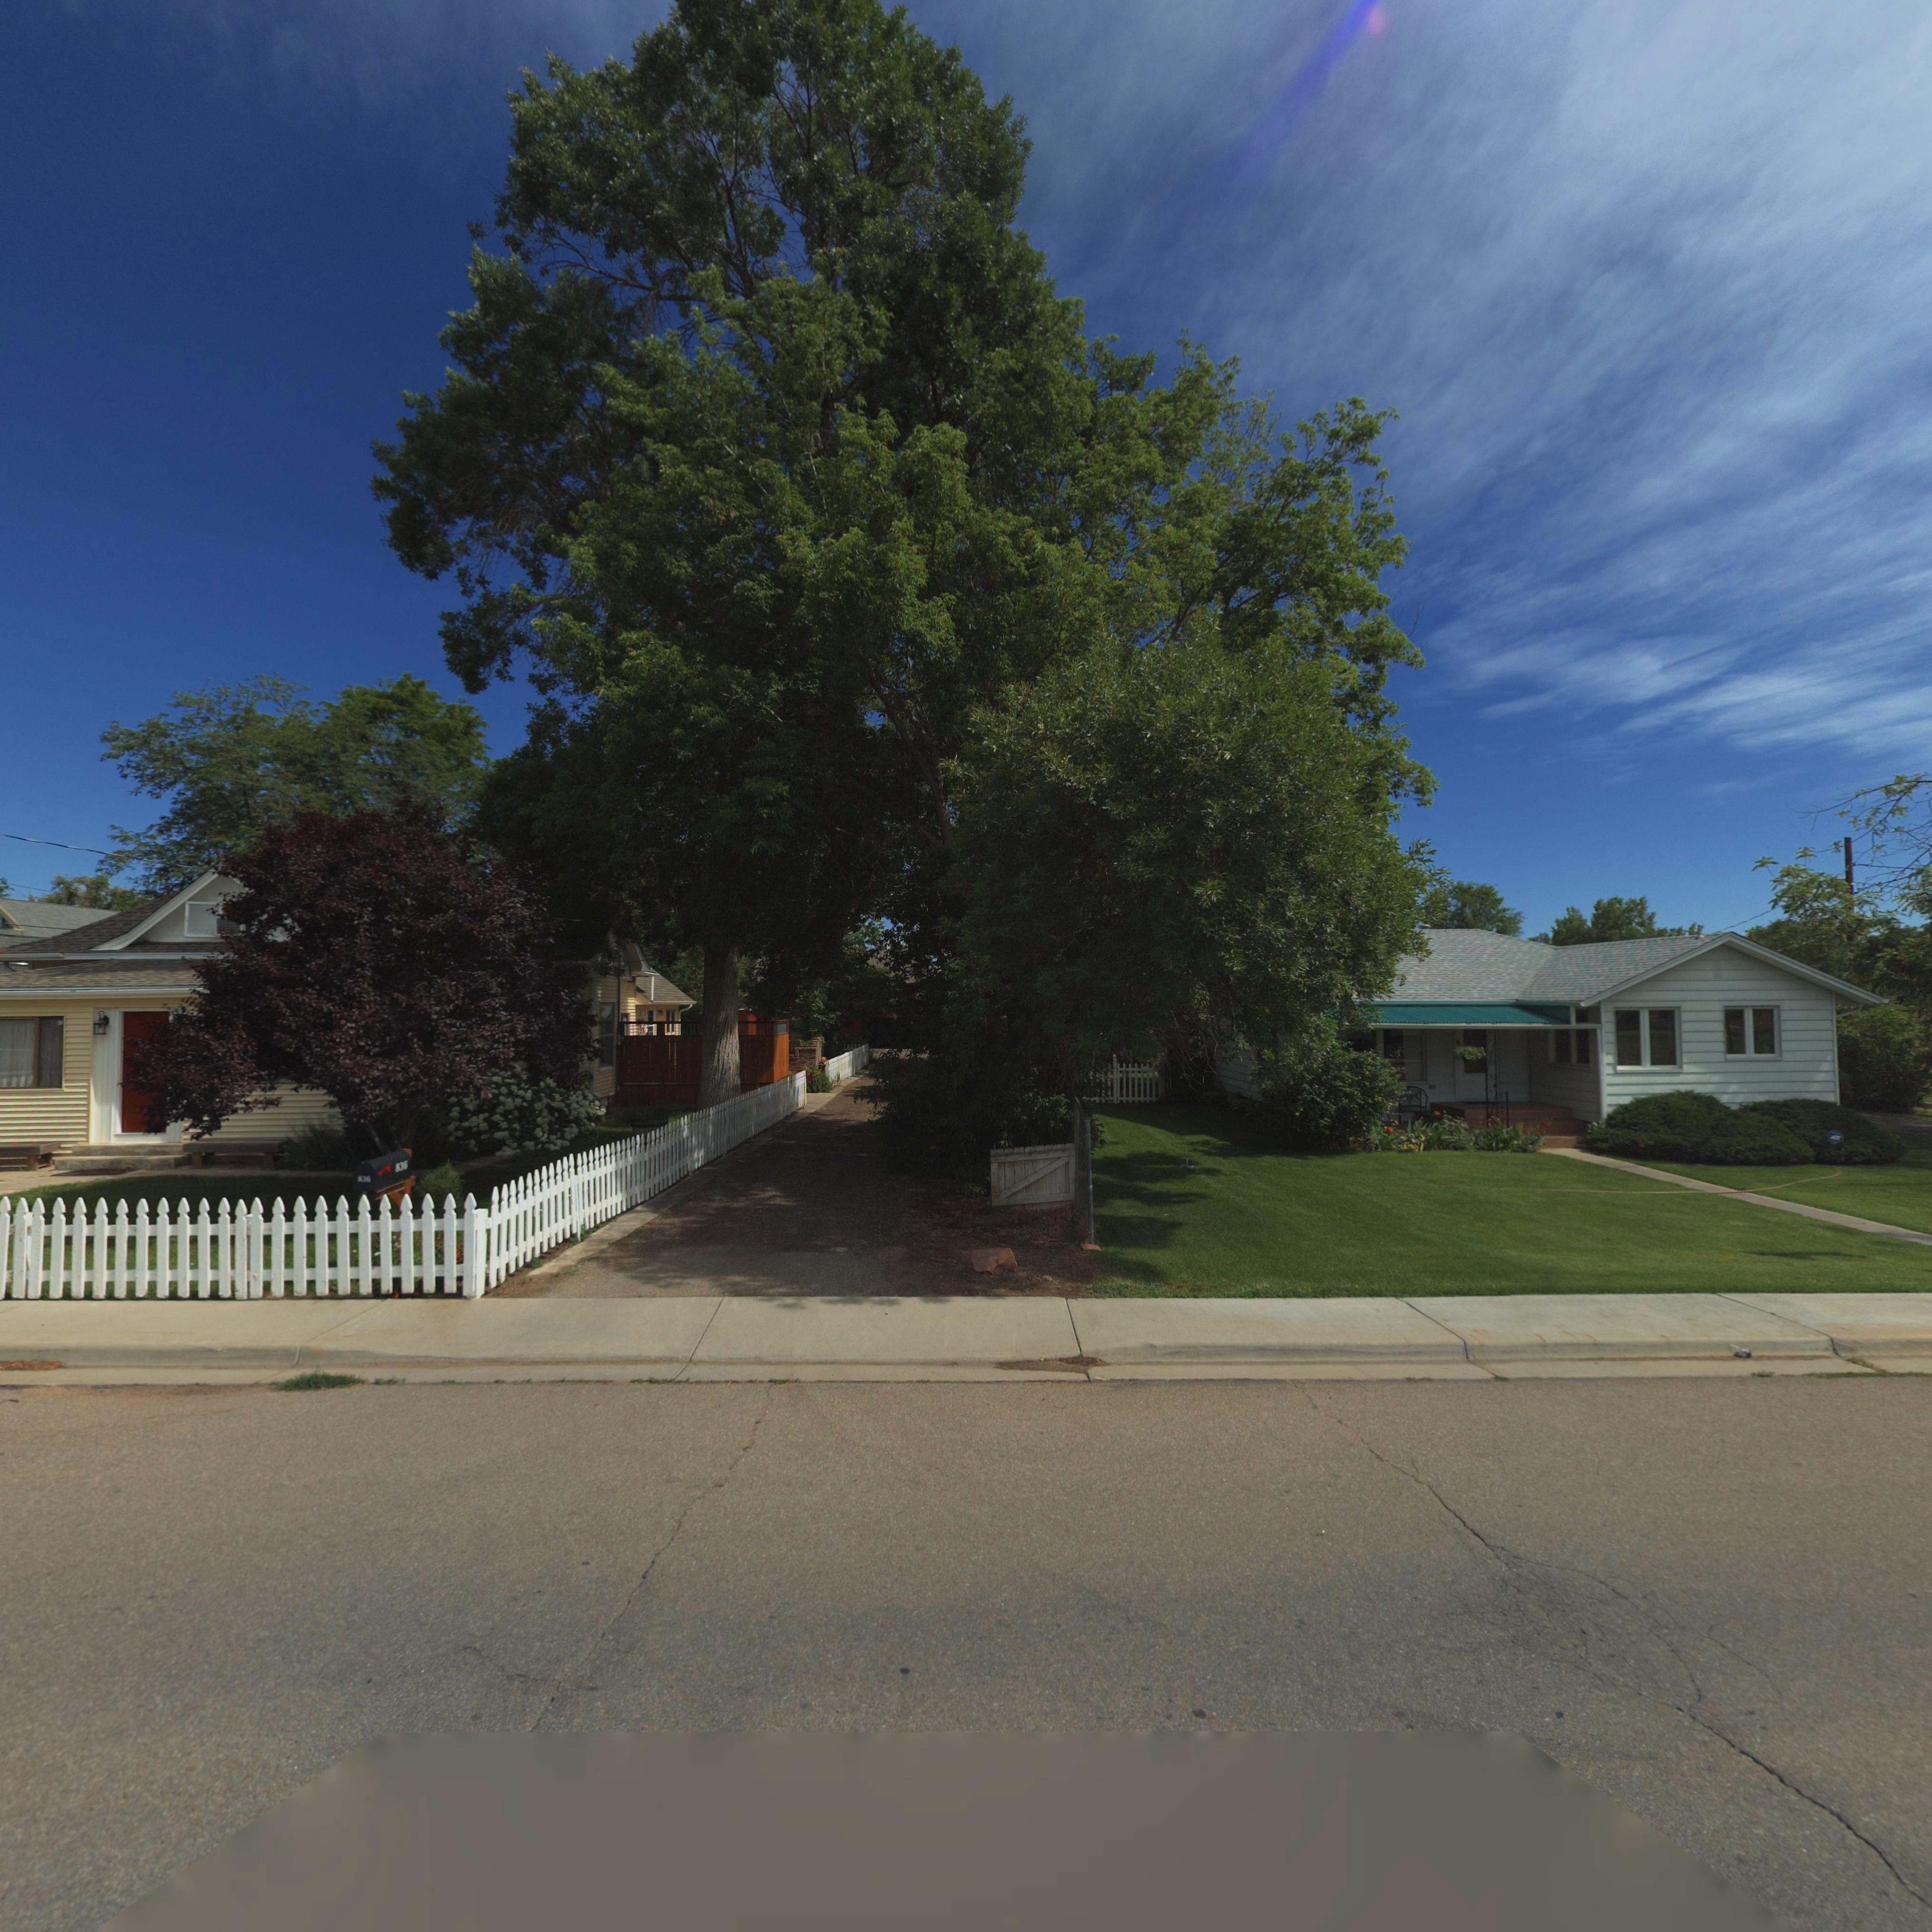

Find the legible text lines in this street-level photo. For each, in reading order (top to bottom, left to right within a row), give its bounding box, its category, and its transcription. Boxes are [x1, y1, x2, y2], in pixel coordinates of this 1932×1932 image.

[394, 1159, 408, 1172] StreetNumber: 836
[357, 1175, 372, 1183] StreetNumber: 836